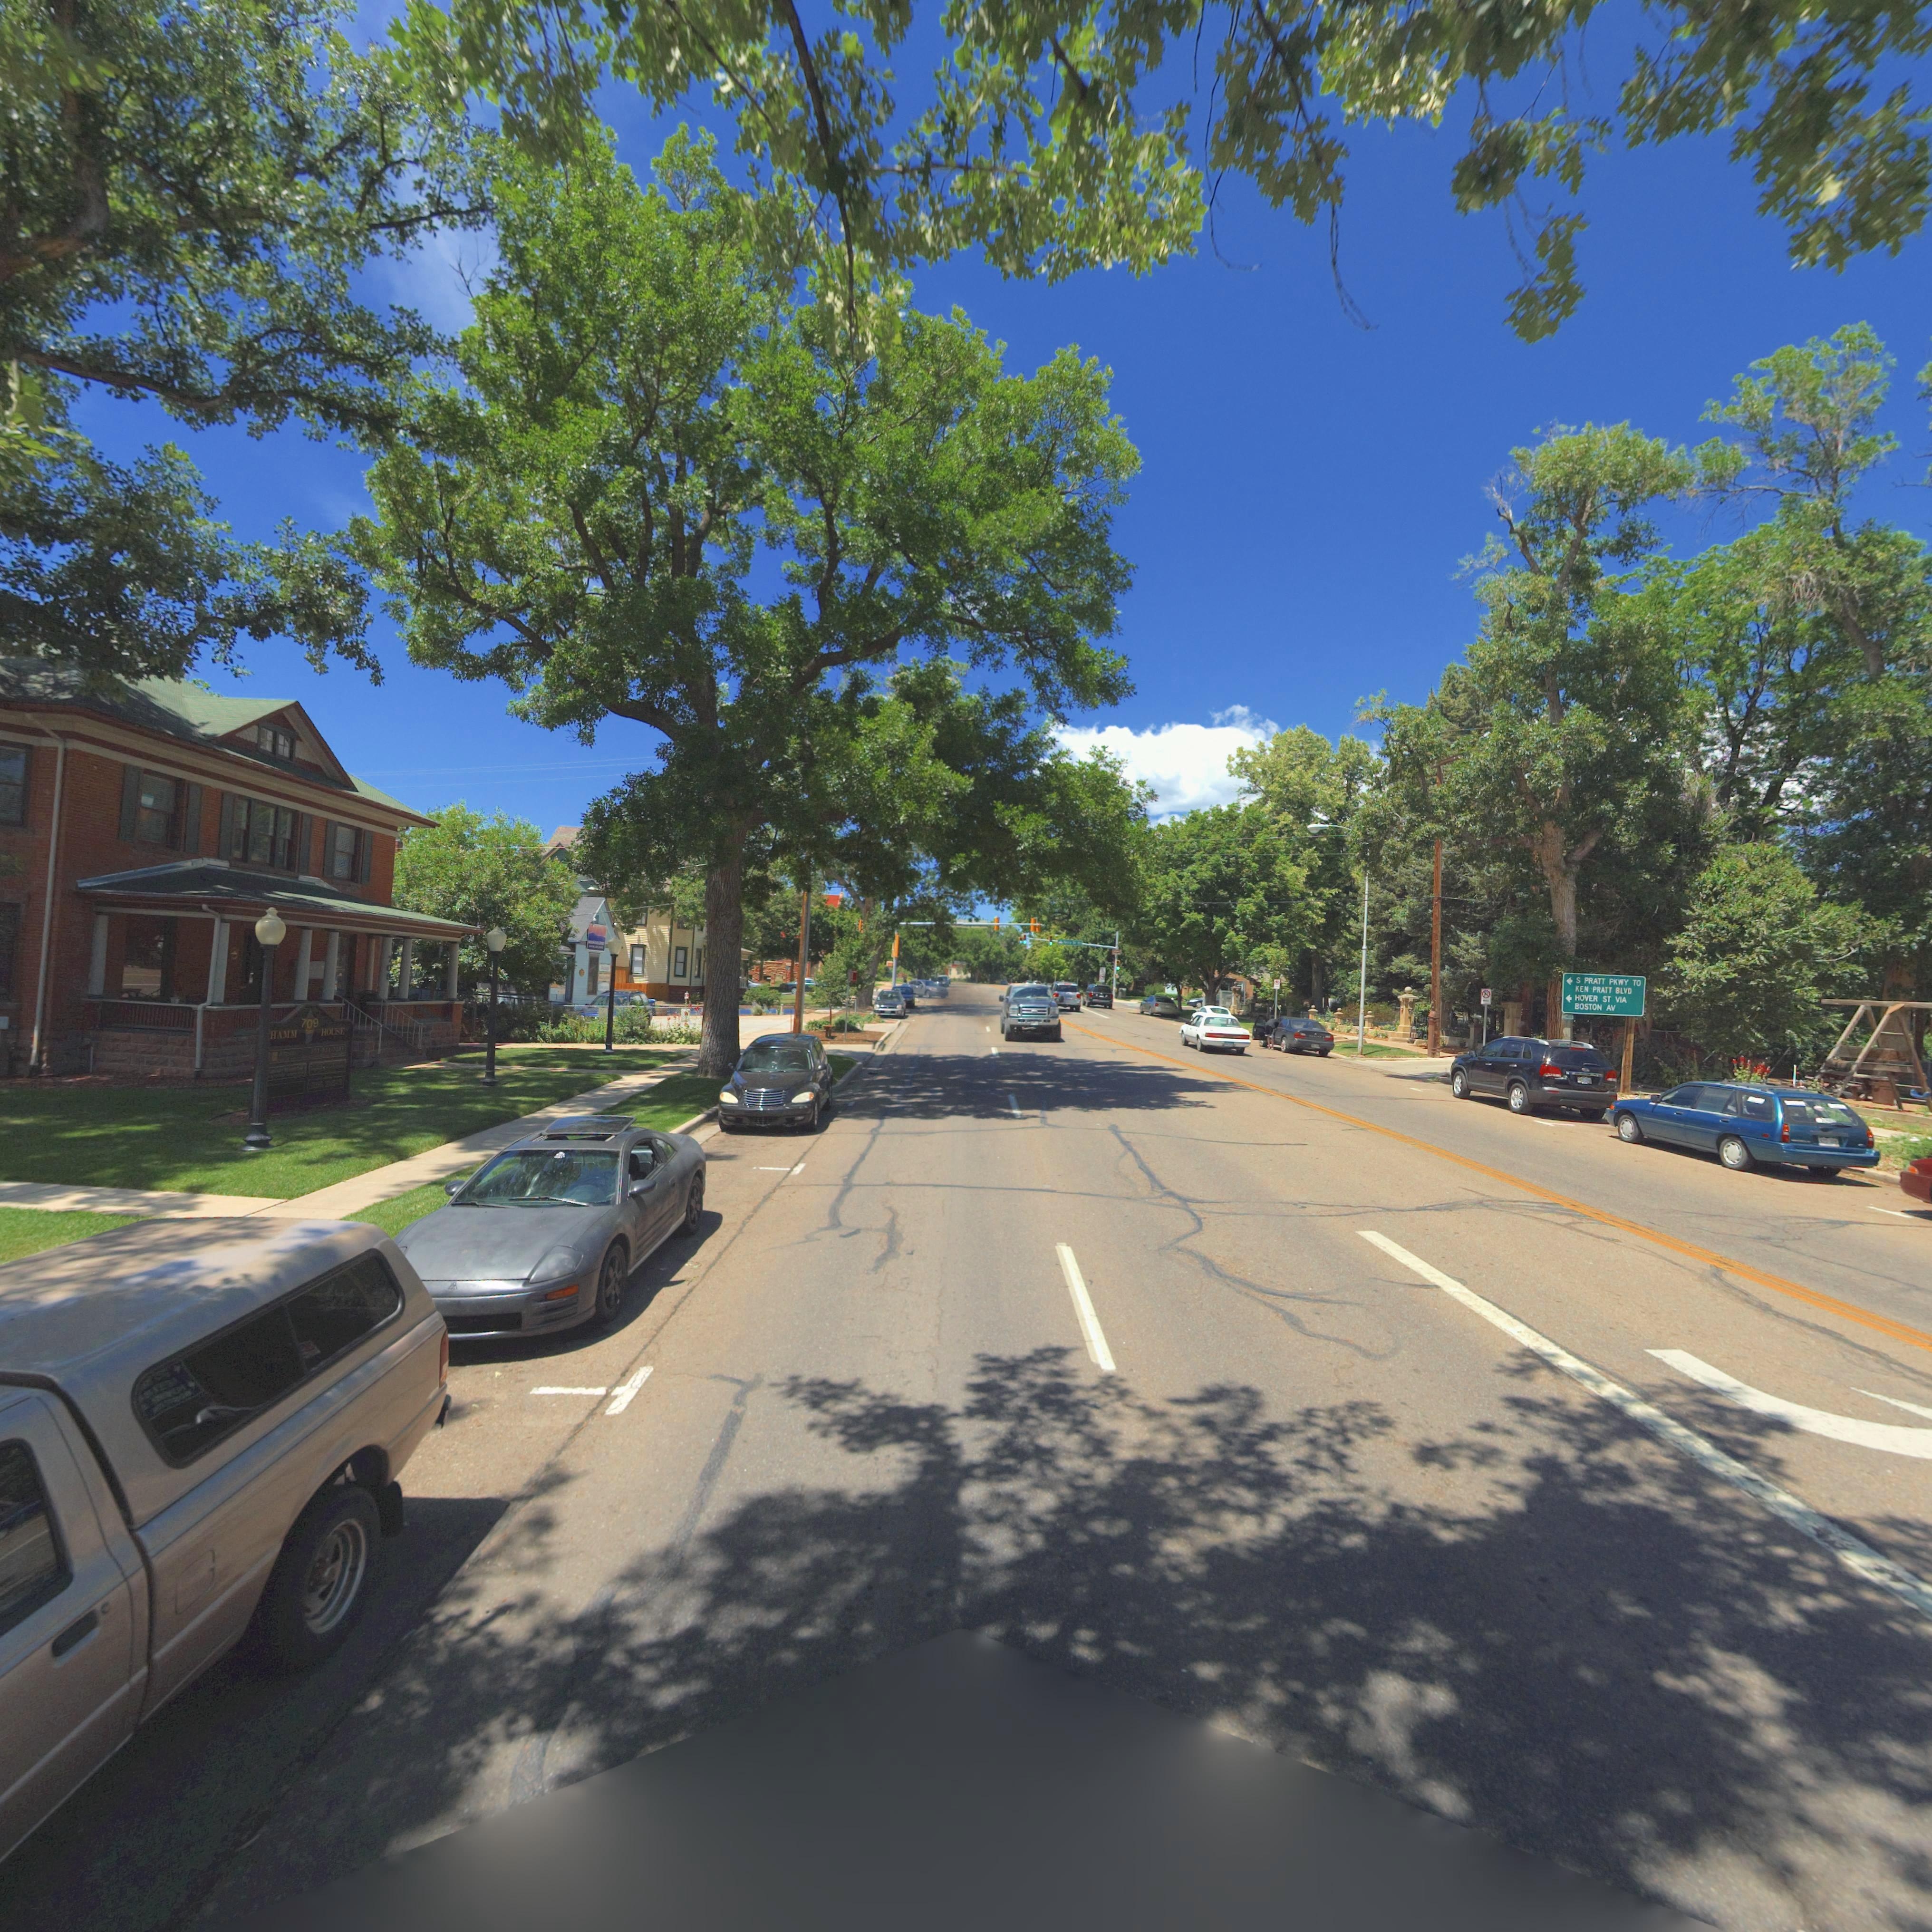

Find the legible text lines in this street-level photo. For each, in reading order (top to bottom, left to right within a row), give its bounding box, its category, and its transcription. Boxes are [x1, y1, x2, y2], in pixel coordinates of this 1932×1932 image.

[587, 939, 605, 946] BusinessName: MOUN**** *P****
[1063, 940, 1076, 944] StreetName: **o* **
[386, 955, 393, 980] StreetNumber: 709
[1576, 977, 1629, 985] StreetName: S PRATT PKWY
[1575, 985, 1632, 994] StreetName: KEN PRATT BLVD
[1575, 994, 1611, 1002] StreetName: HOVER ST
[1575, 1003, 1615, 1011] StreetName: BOSTON AV
[301, 1017, 319, 1029] StreetNumber: 709
[278, 1050, 296, 1058] BusinessName: As**n